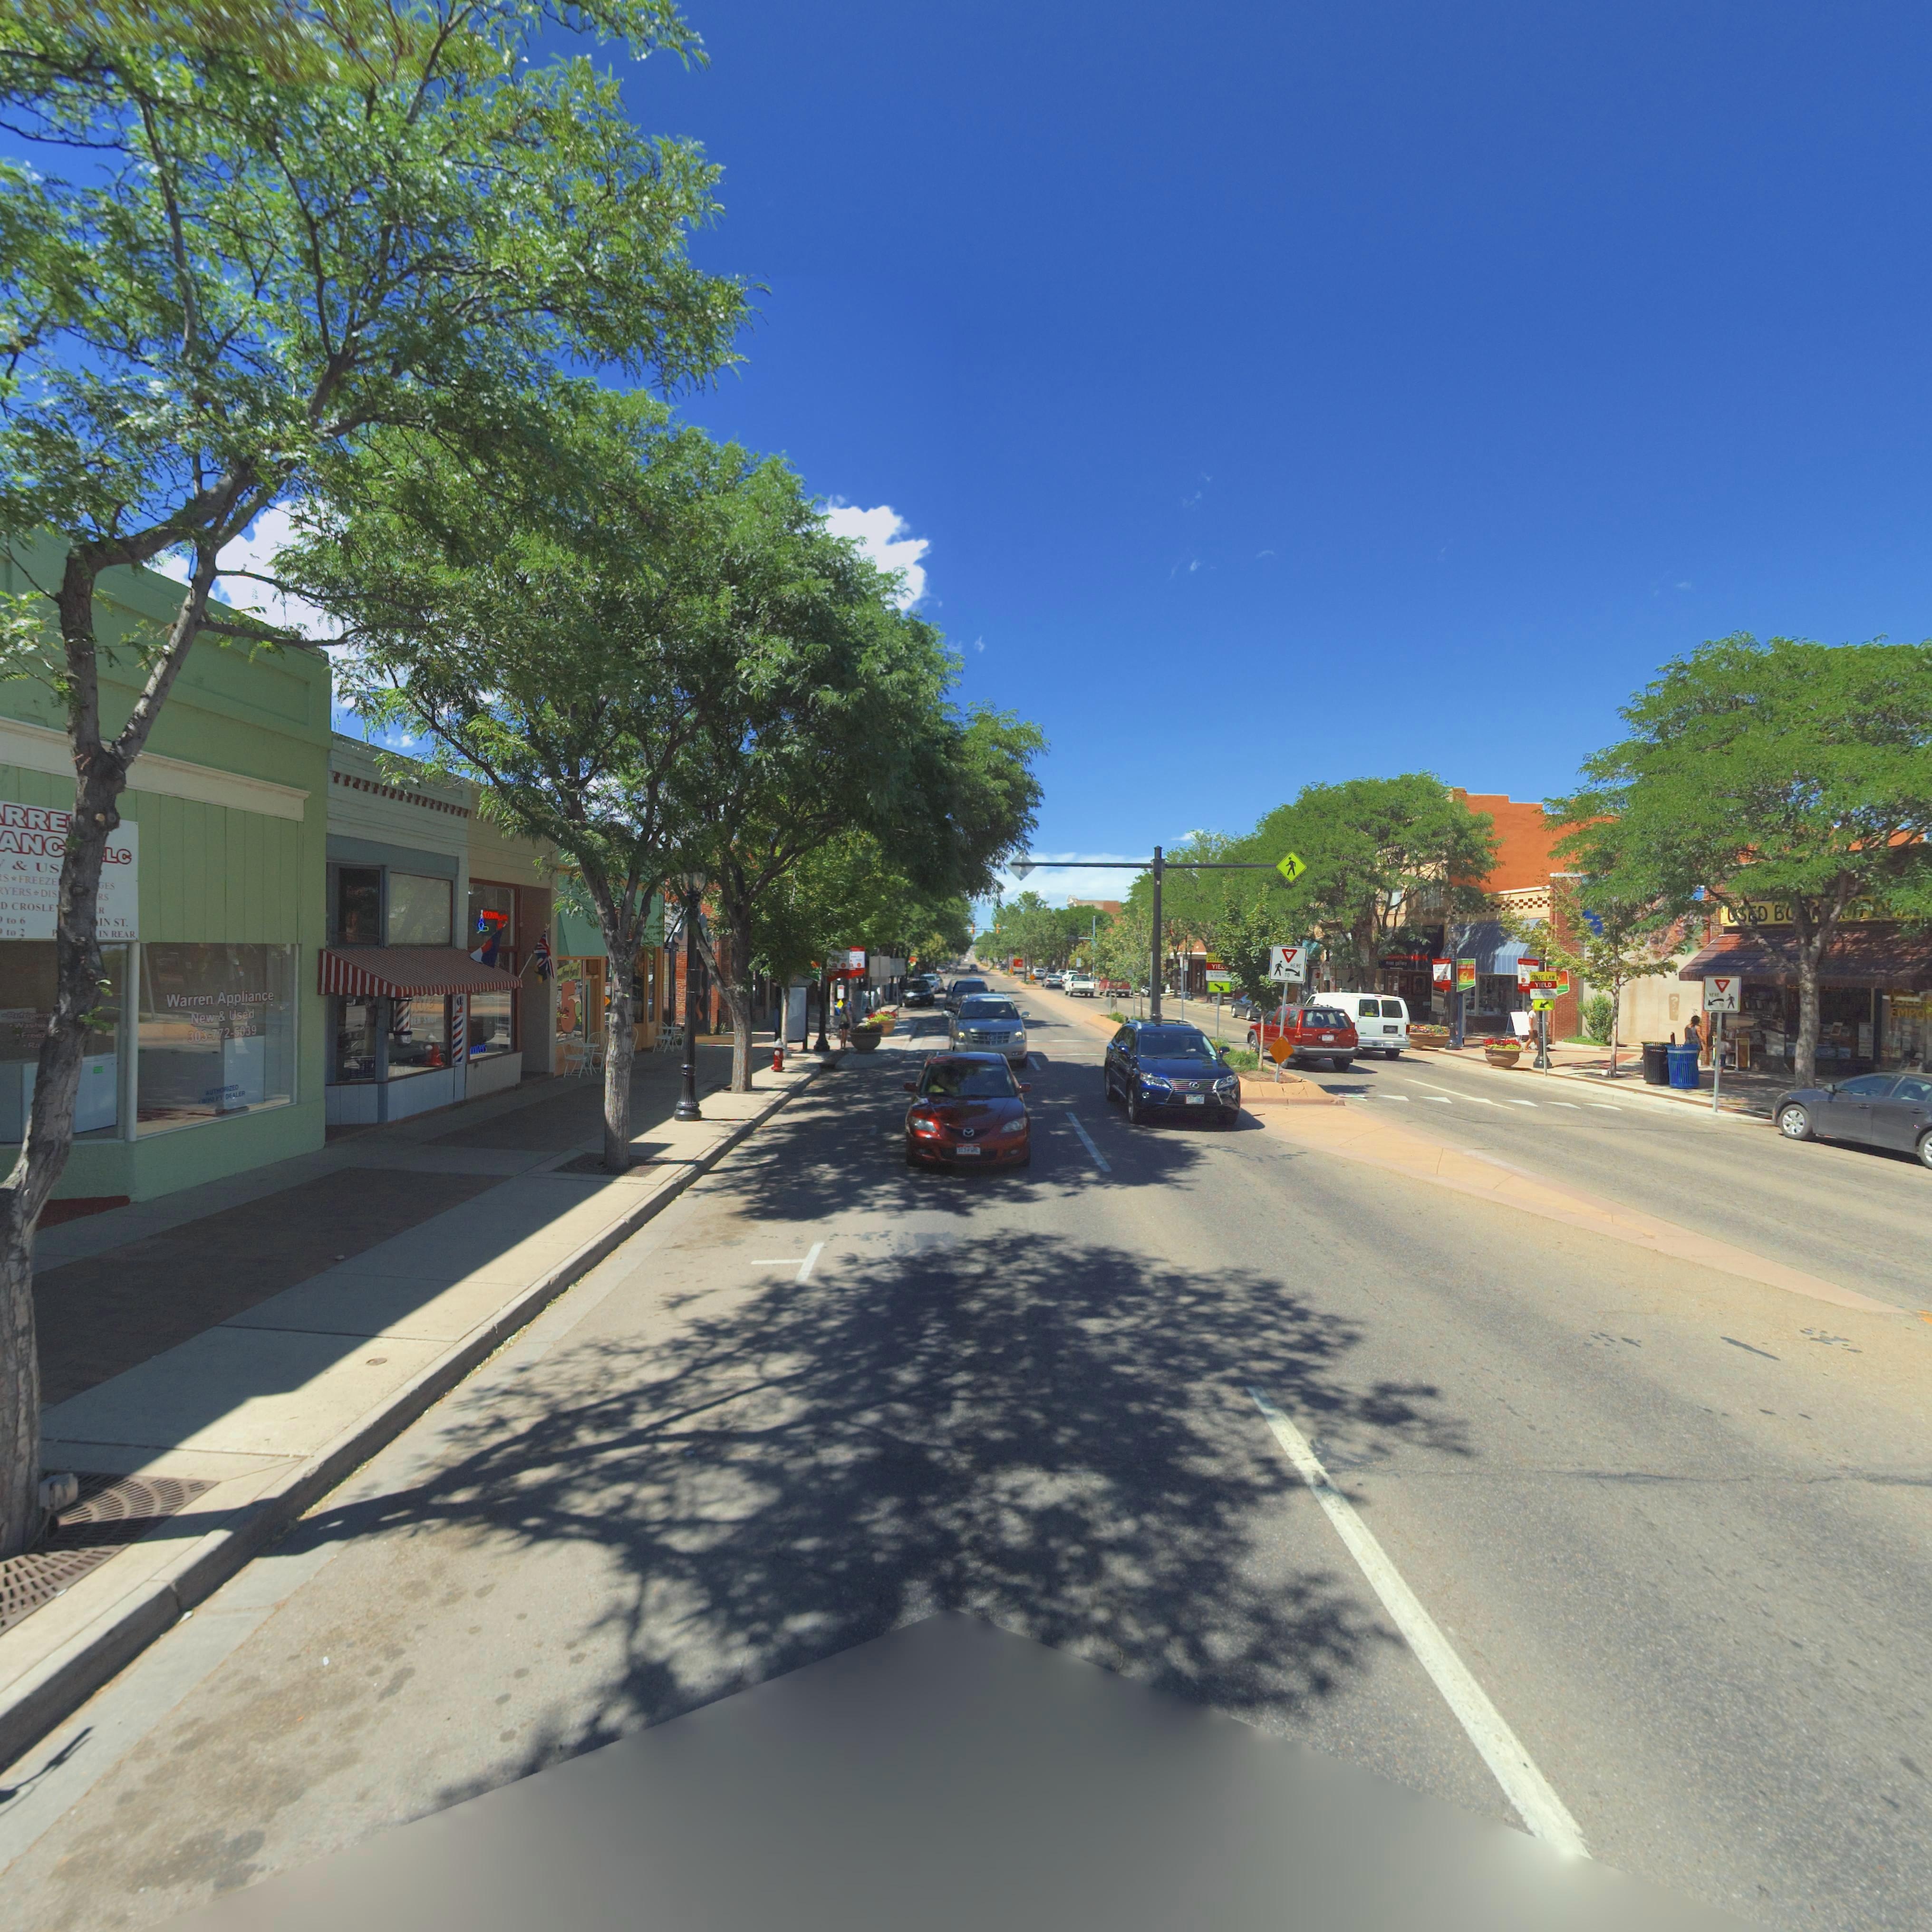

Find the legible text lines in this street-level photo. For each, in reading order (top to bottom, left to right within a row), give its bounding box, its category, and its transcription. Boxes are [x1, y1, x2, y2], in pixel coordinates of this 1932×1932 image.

[3, 805, 68, 833] BusinessName: RRE
[0, 831, 131, 863] BusinessName: ANC *LC
[1727, 898, 1875, 923] BusinessName: US*D BO******
[95, 917, 128, 927] StreetName: *IN ST.
[165, 989, 274, 1008] BusinessName: Warren Appliance
[410, 993, 434, 1015] BusinessName: *LITE
[409, 1014, 438, 1025] BusinessName: BER SHOP
[1888, 993, 1922, 1006] BusinessName: USED
[1889, 1006, 1926, 1020] BusinessName: EMPO